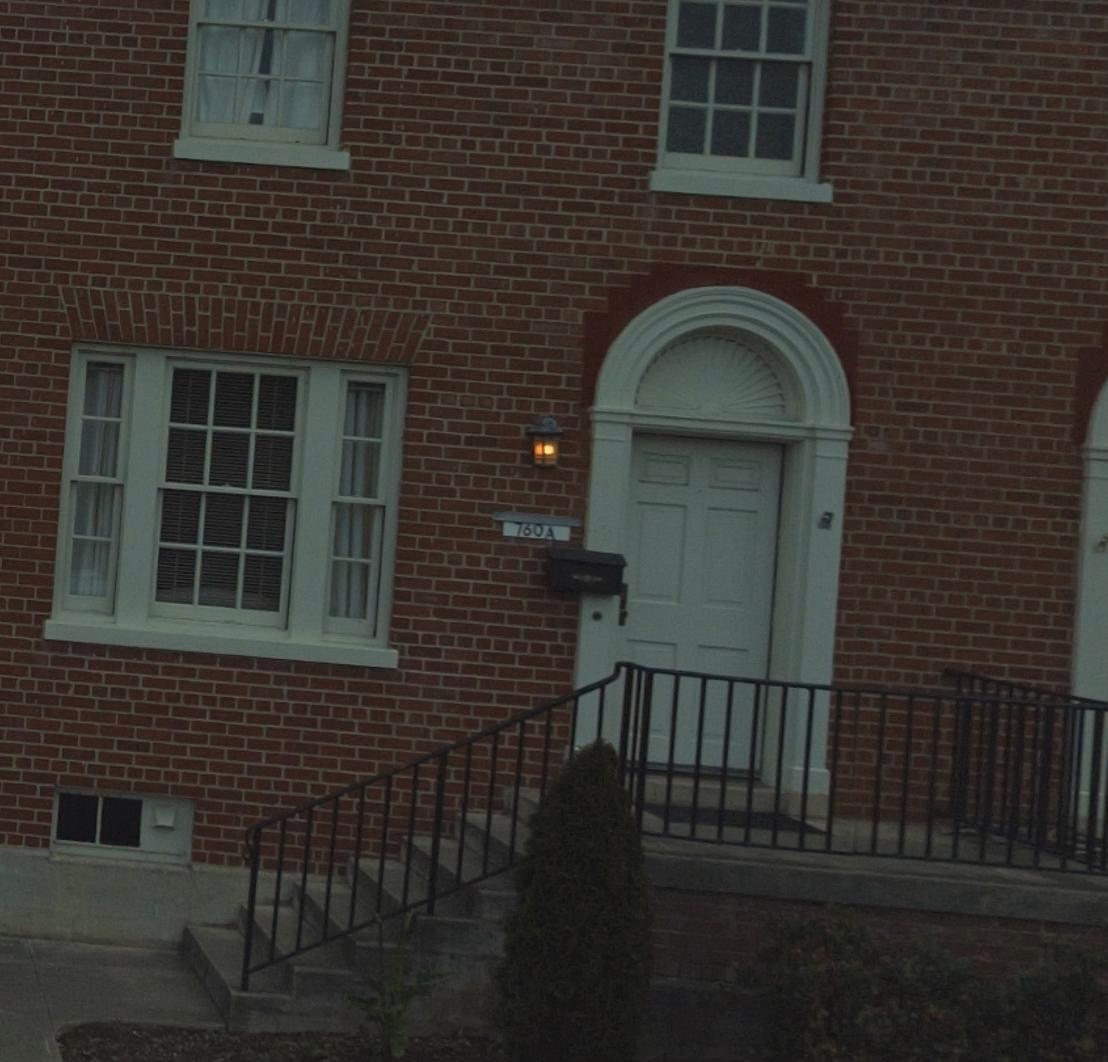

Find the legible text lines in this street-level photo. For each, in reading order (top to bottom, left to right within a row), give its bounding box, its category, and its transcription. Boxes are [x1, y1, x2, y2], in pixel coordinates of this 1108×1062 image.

[513, 521, 556, 541] StreetNumber: 760A